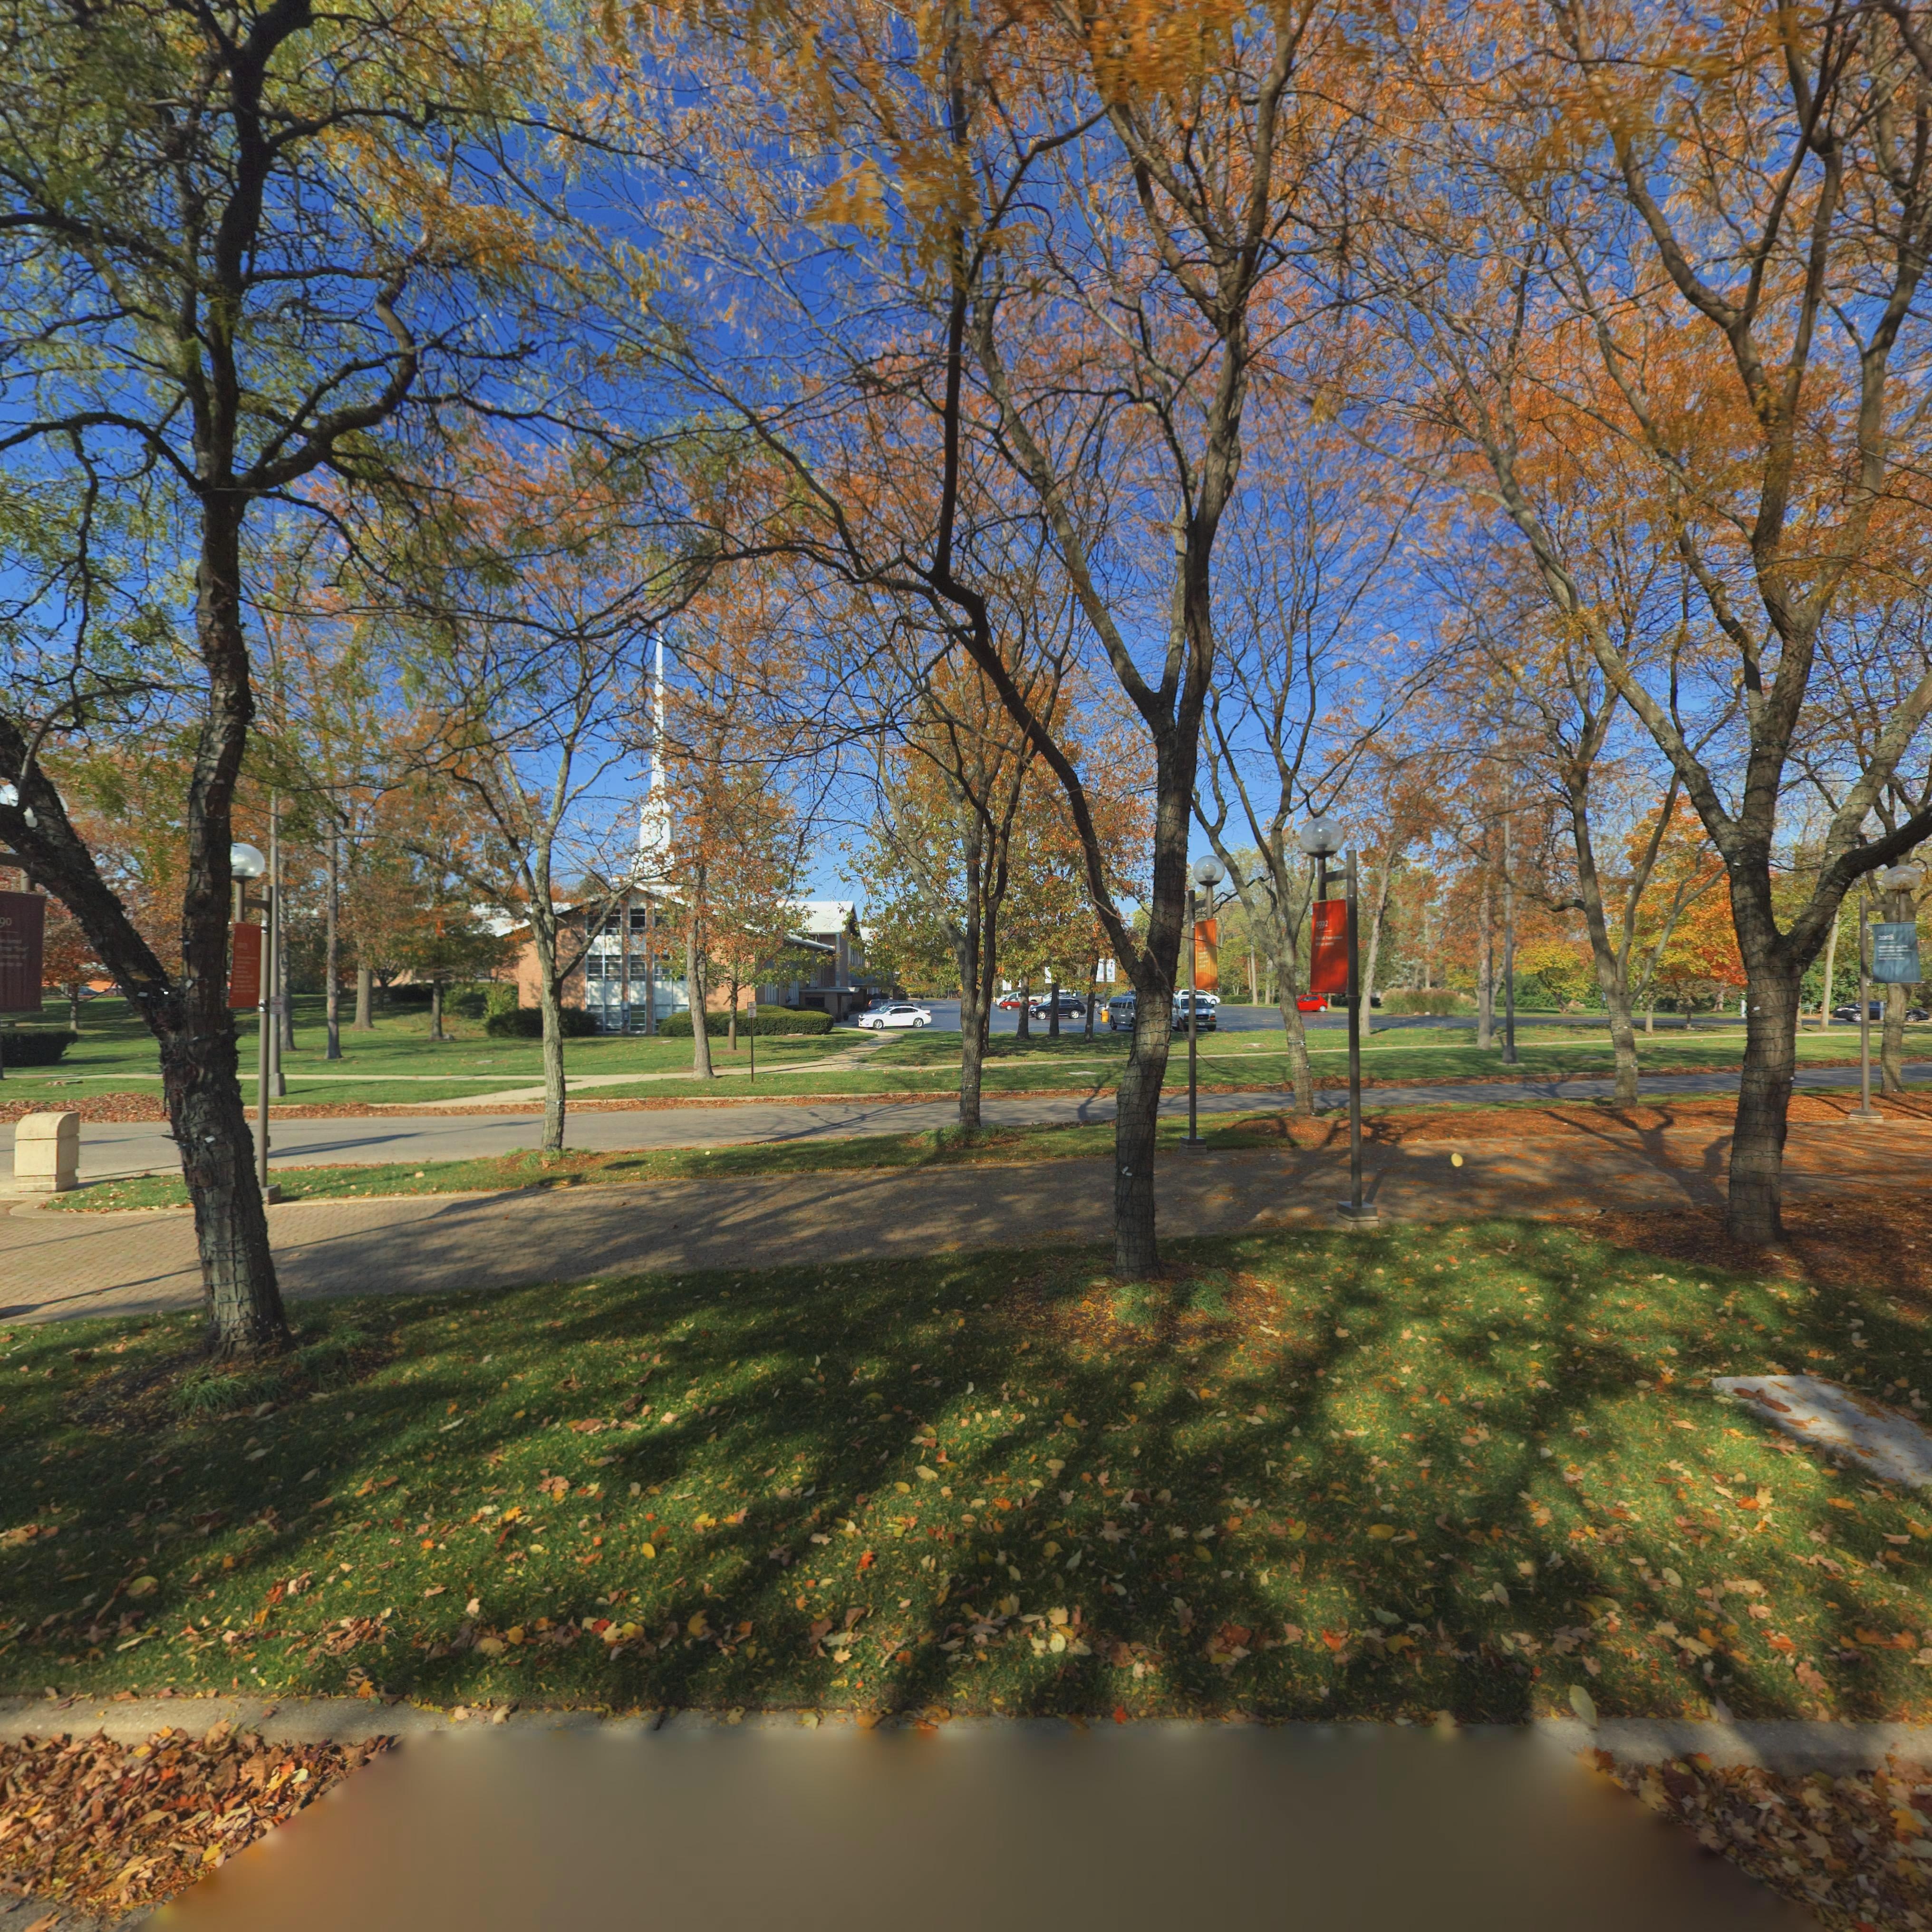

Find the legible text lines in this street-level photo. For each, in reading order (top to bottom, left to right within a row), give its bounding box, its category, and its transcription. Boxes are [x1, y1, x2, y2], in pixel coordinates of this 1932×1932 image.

[0, 916, 12, 930] None: 90
[1315, 920, 1329, 930] None: 1992
[1198, 935, 1206, 942] None: 2009